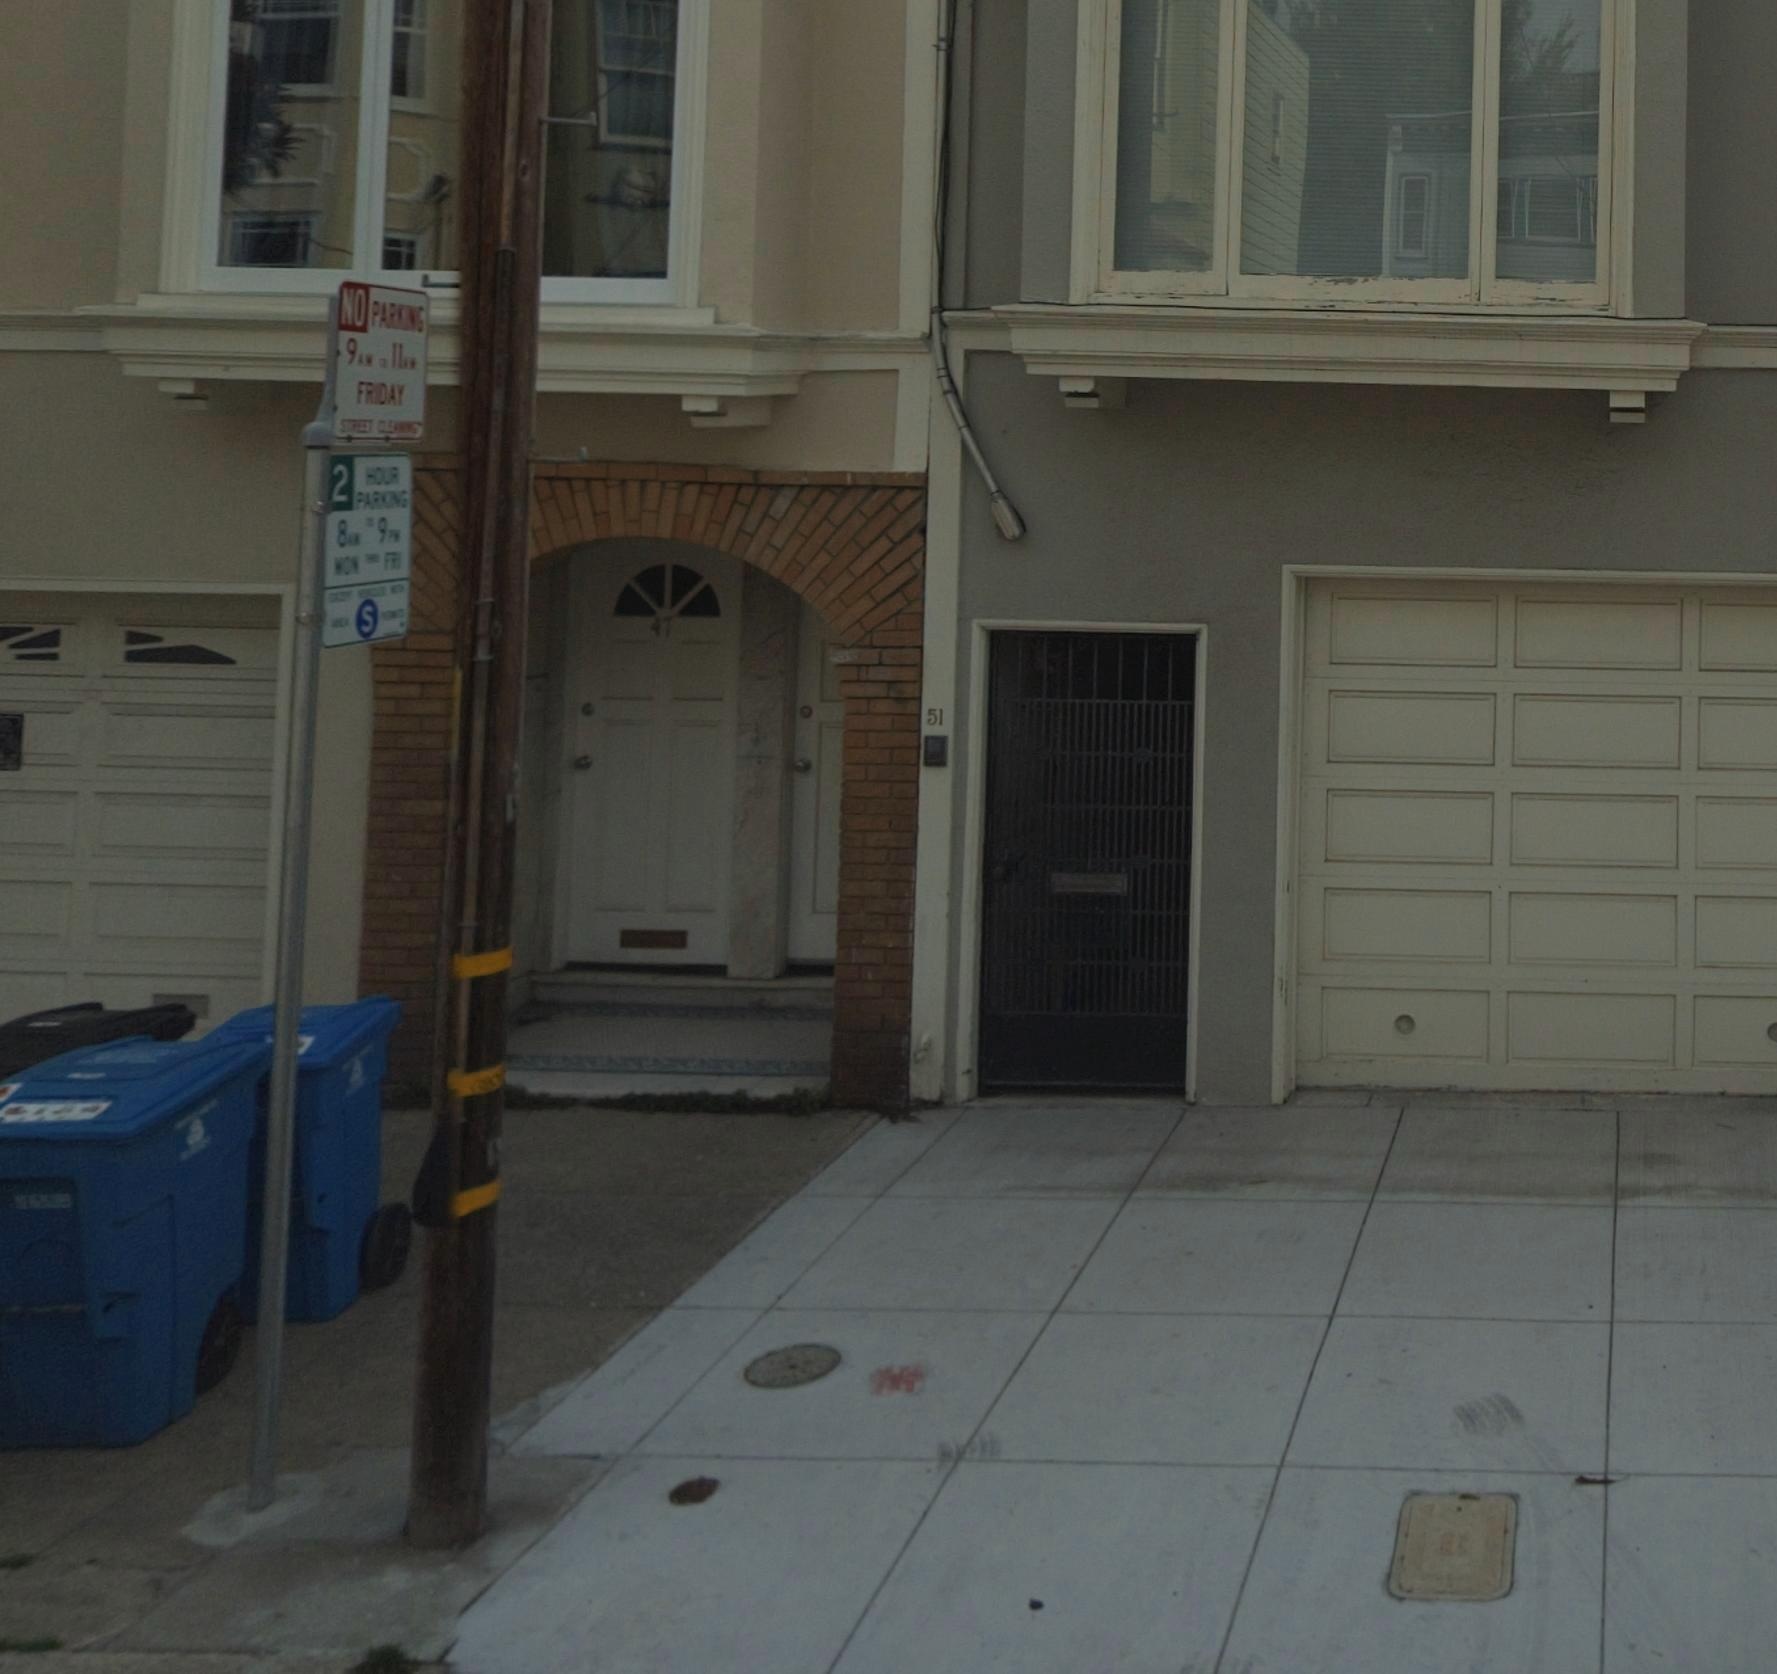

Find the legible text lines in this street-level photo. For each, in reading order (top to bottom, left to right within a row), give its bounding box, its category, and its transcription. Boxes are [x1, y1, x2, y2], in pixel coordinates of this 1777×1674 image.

[338, 282, 429, 335] None: NO PARKING
[344, 334, 421, 372] None: 9AM*11AM
[353, 377, 409, 408] None: FRIDAY
[336, 416, 423, 437] None: STREET CLEANING
[327, 460, 351, 505] None: 2
[362, 464, 405, 490] None: HOUR
[352, 487, 410, 513] None: PARKING
[334, 513, 407, 552] None: 8AM*9PM
[333, 553, 363, 580] None: MON
[382, 548, 405, 572] None: FRI
[355, 600, 377, 639] None: S
[926, 706, 945, 727] StreetNumber: 51